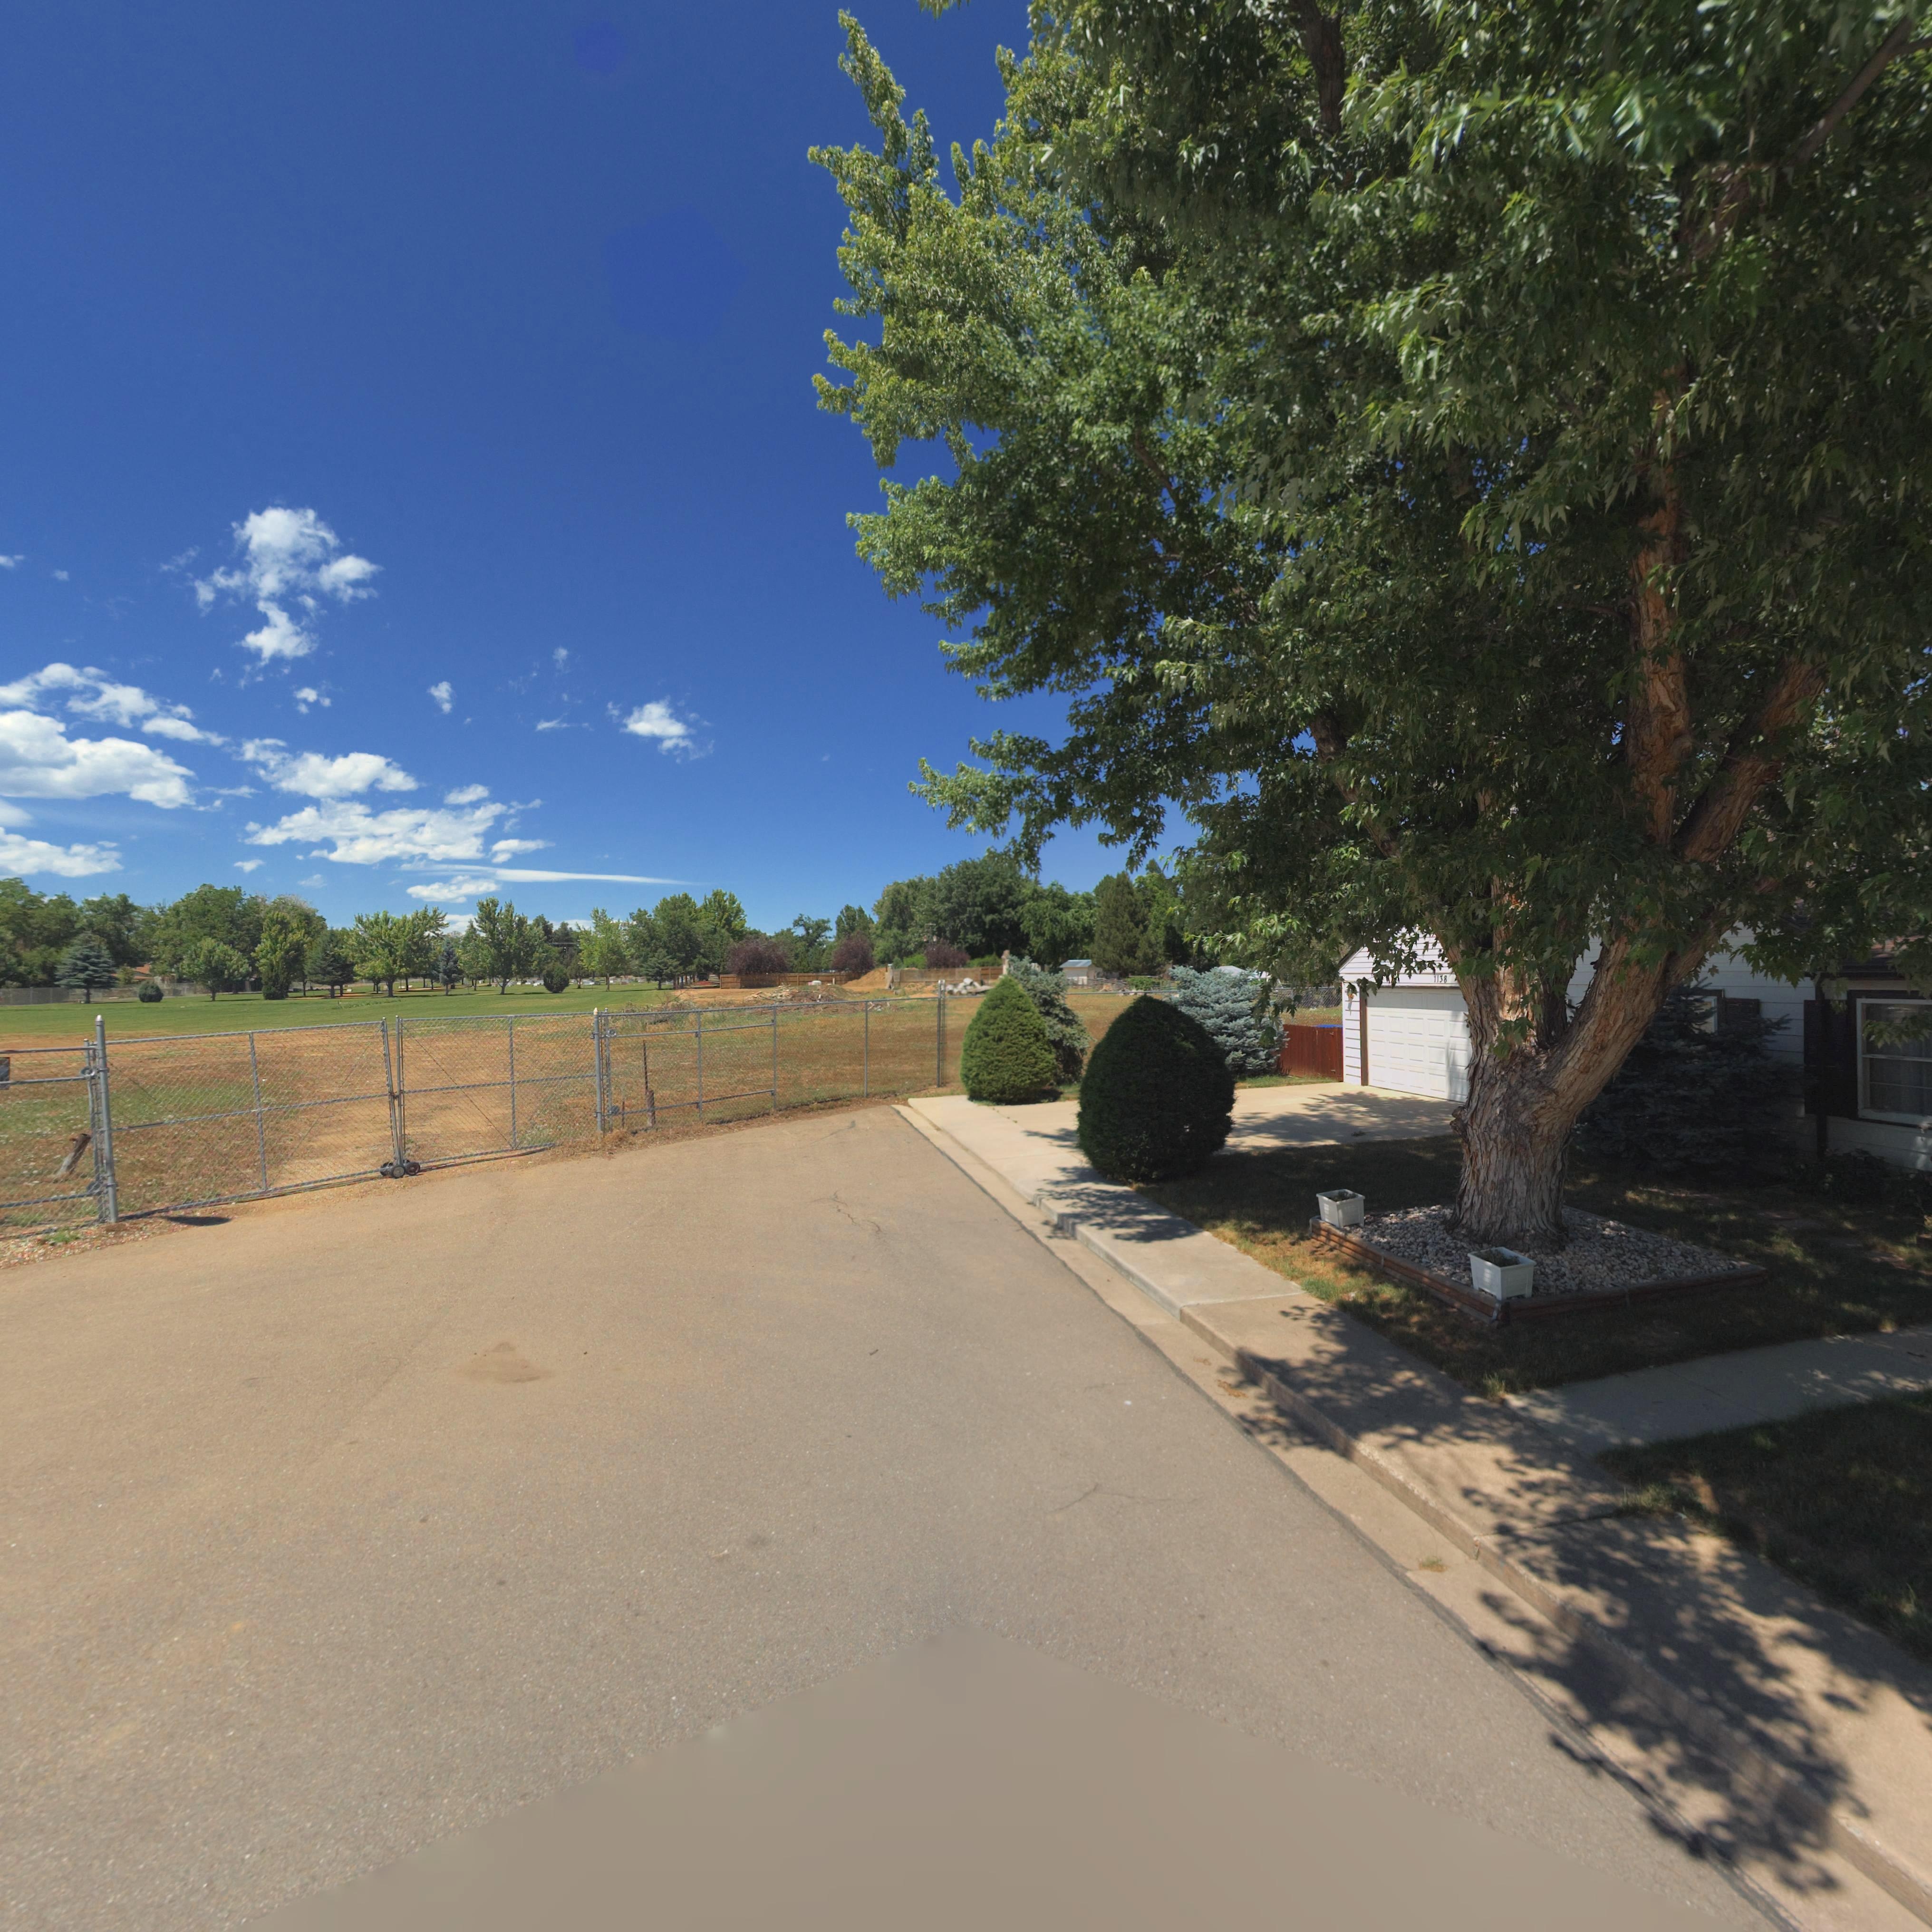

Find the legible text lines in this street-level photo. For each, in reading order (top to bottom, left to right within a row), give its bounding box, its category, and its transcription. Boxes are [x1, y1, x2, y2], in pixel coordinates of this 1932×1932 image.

[1433, 975, 1447, 983] StreetNumber: 1138